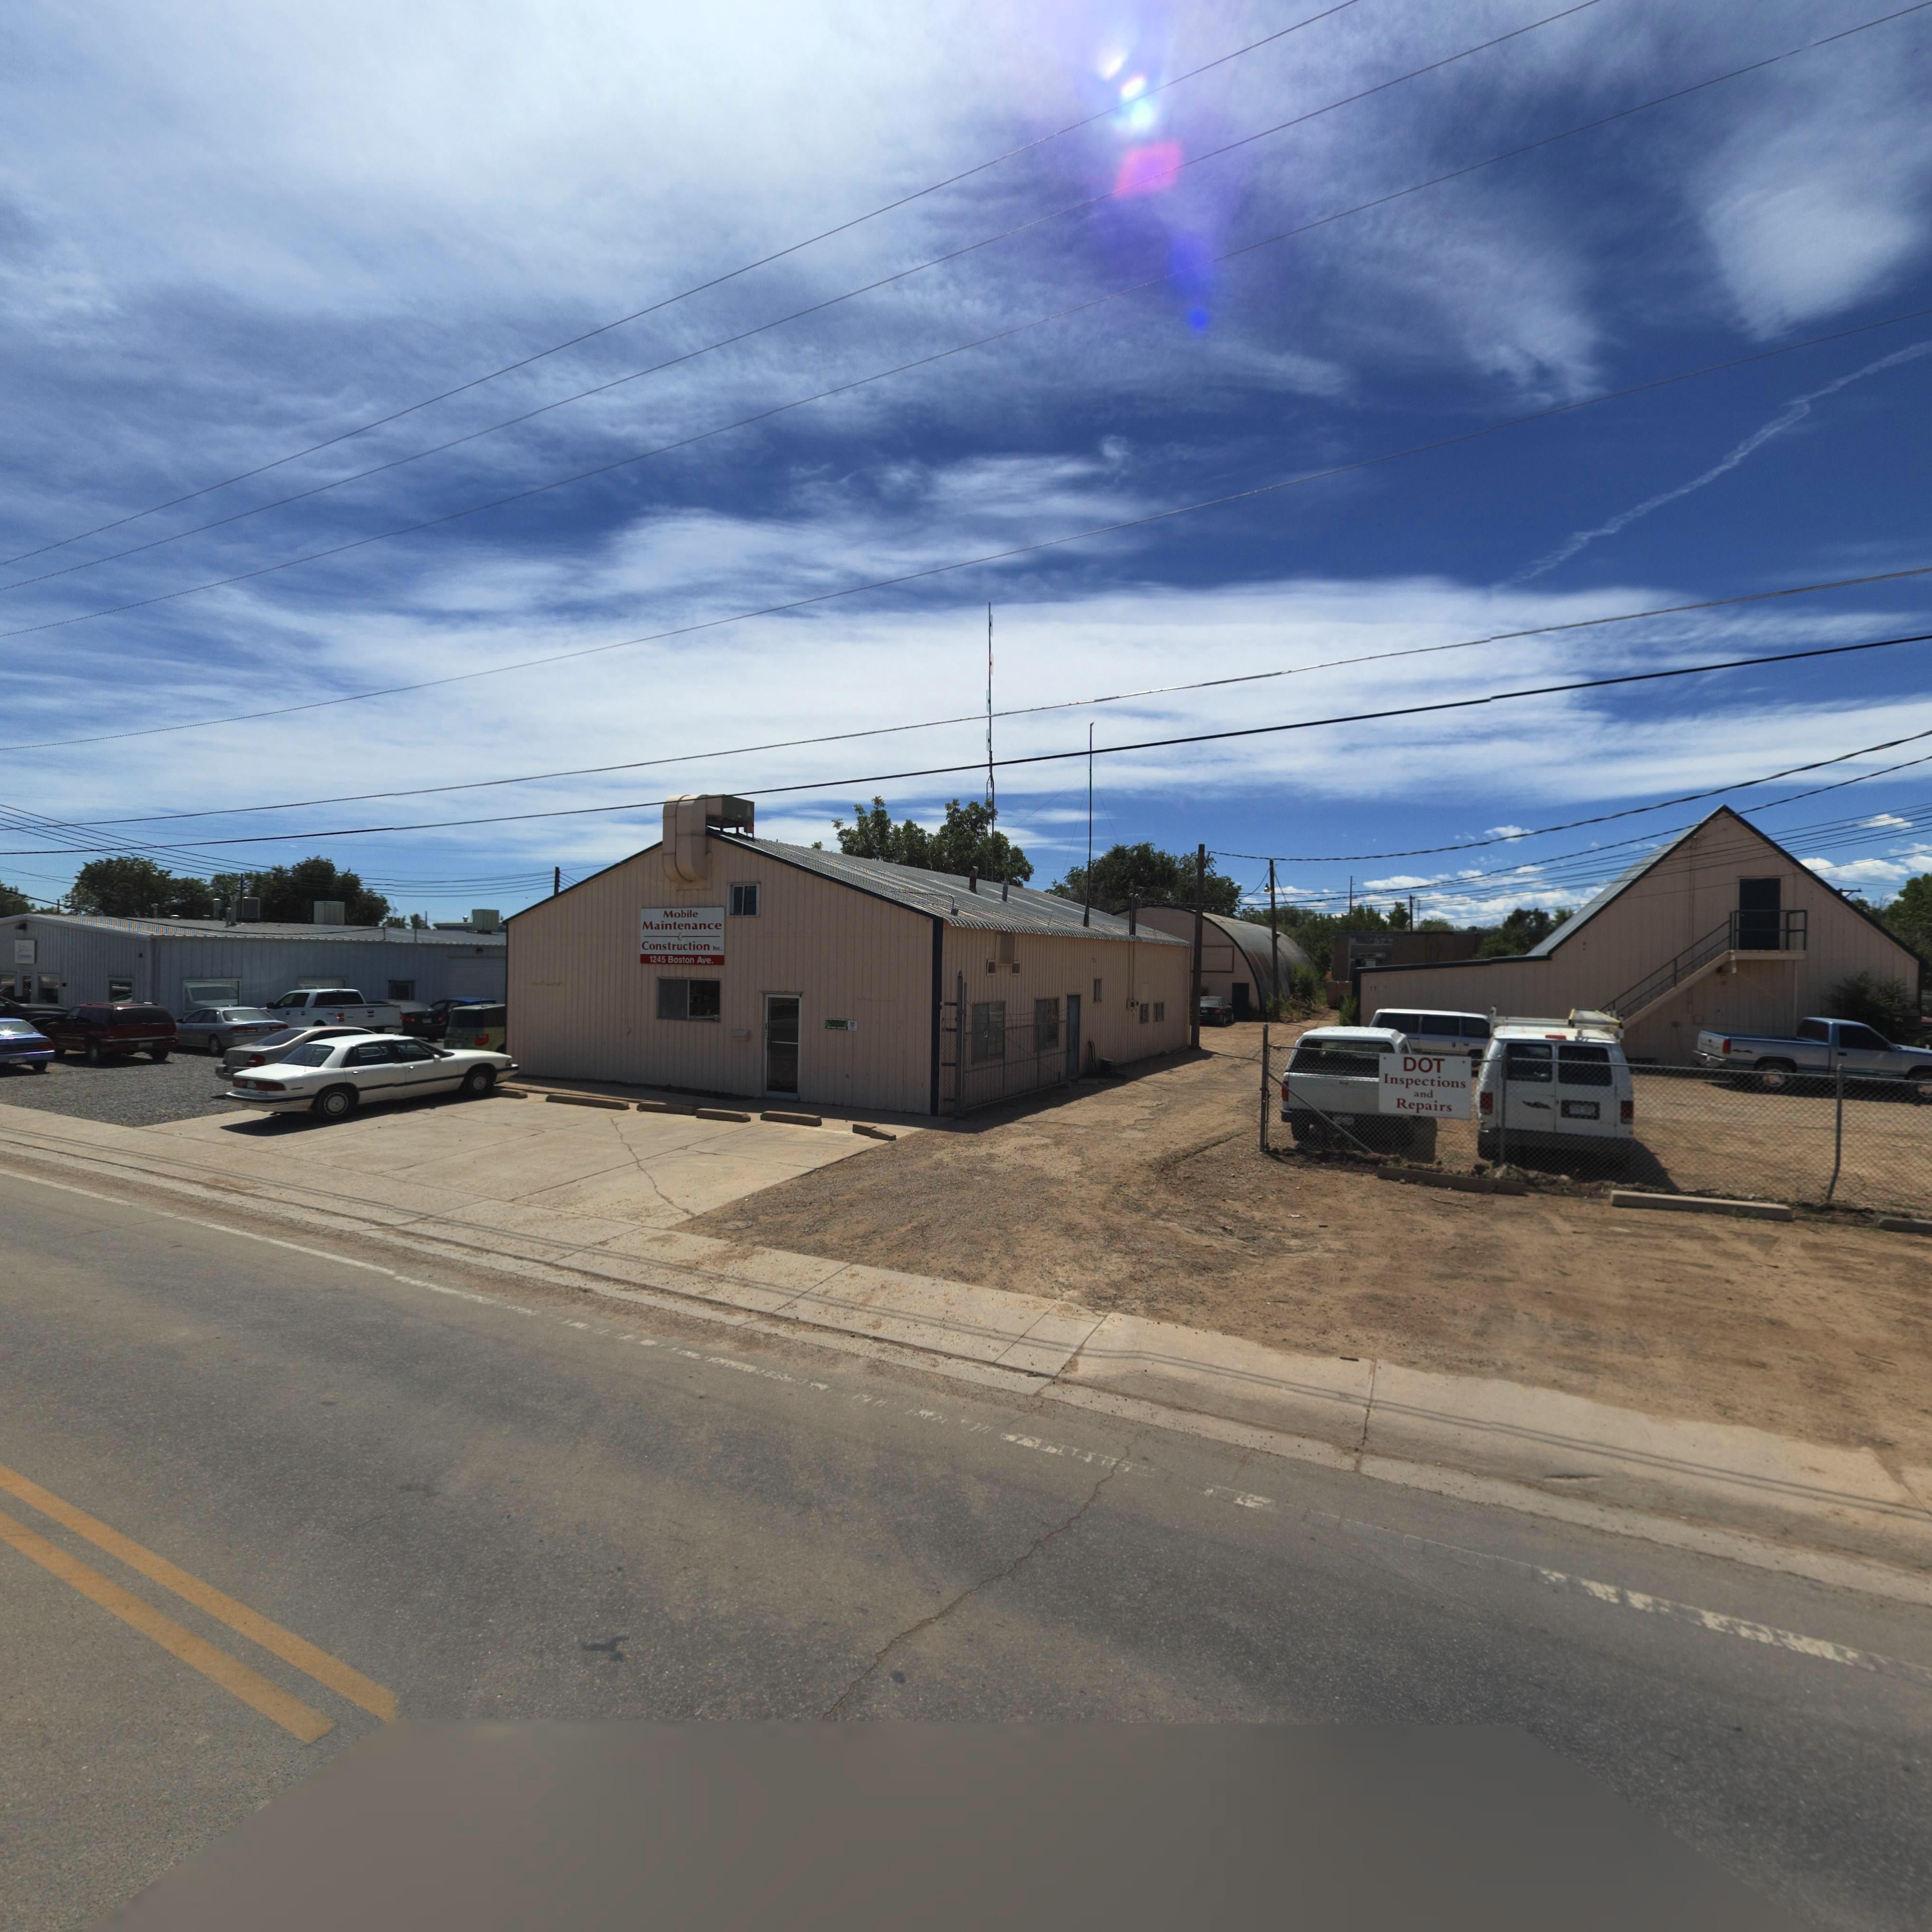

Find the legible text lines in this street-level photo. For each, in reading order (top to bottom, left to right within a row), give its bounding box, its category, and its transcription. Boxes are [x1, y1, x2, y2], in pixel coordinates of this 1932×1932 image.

[663, 909, 698, 918] BusinessName: Mobile
[641, 920, 722, 930] BusinessName: Maintenance
[641, 940, 723, 951] BusinessName: Construction Inc.
[648, 955, 666, 963] StreetNumber: 1245
[667, 955, 714, 964] StreetName: Boston Ave.
[1369, 985, 1389, 991] StreetNumber: 12*
[1402, 1056, 1446, 1073] BusinessName: DOT
[1384, 1073, 1466, 1089] BusinessName: Inspections
[1395, 1097, 1453, 1114] BusinessName: Repairs